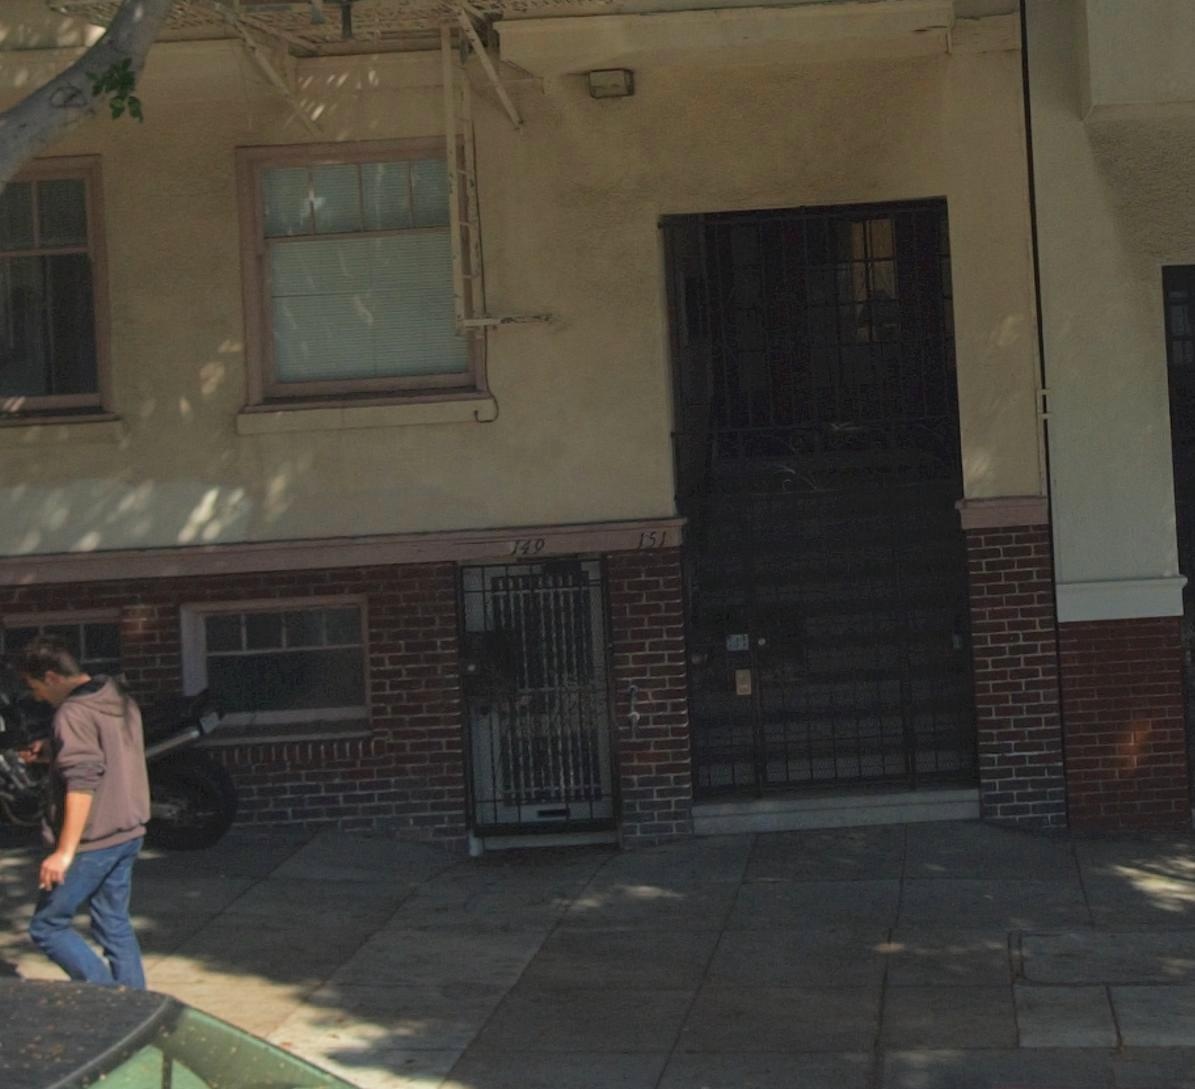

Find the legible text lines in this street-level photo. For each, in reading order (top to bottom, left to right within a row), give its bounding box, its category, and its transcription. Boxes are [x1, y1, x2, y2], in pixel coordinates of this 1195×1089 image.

[509, 537, 547, 556] StreetNumber: 140
[635, 529, 669, 550] StreetNumber: 151